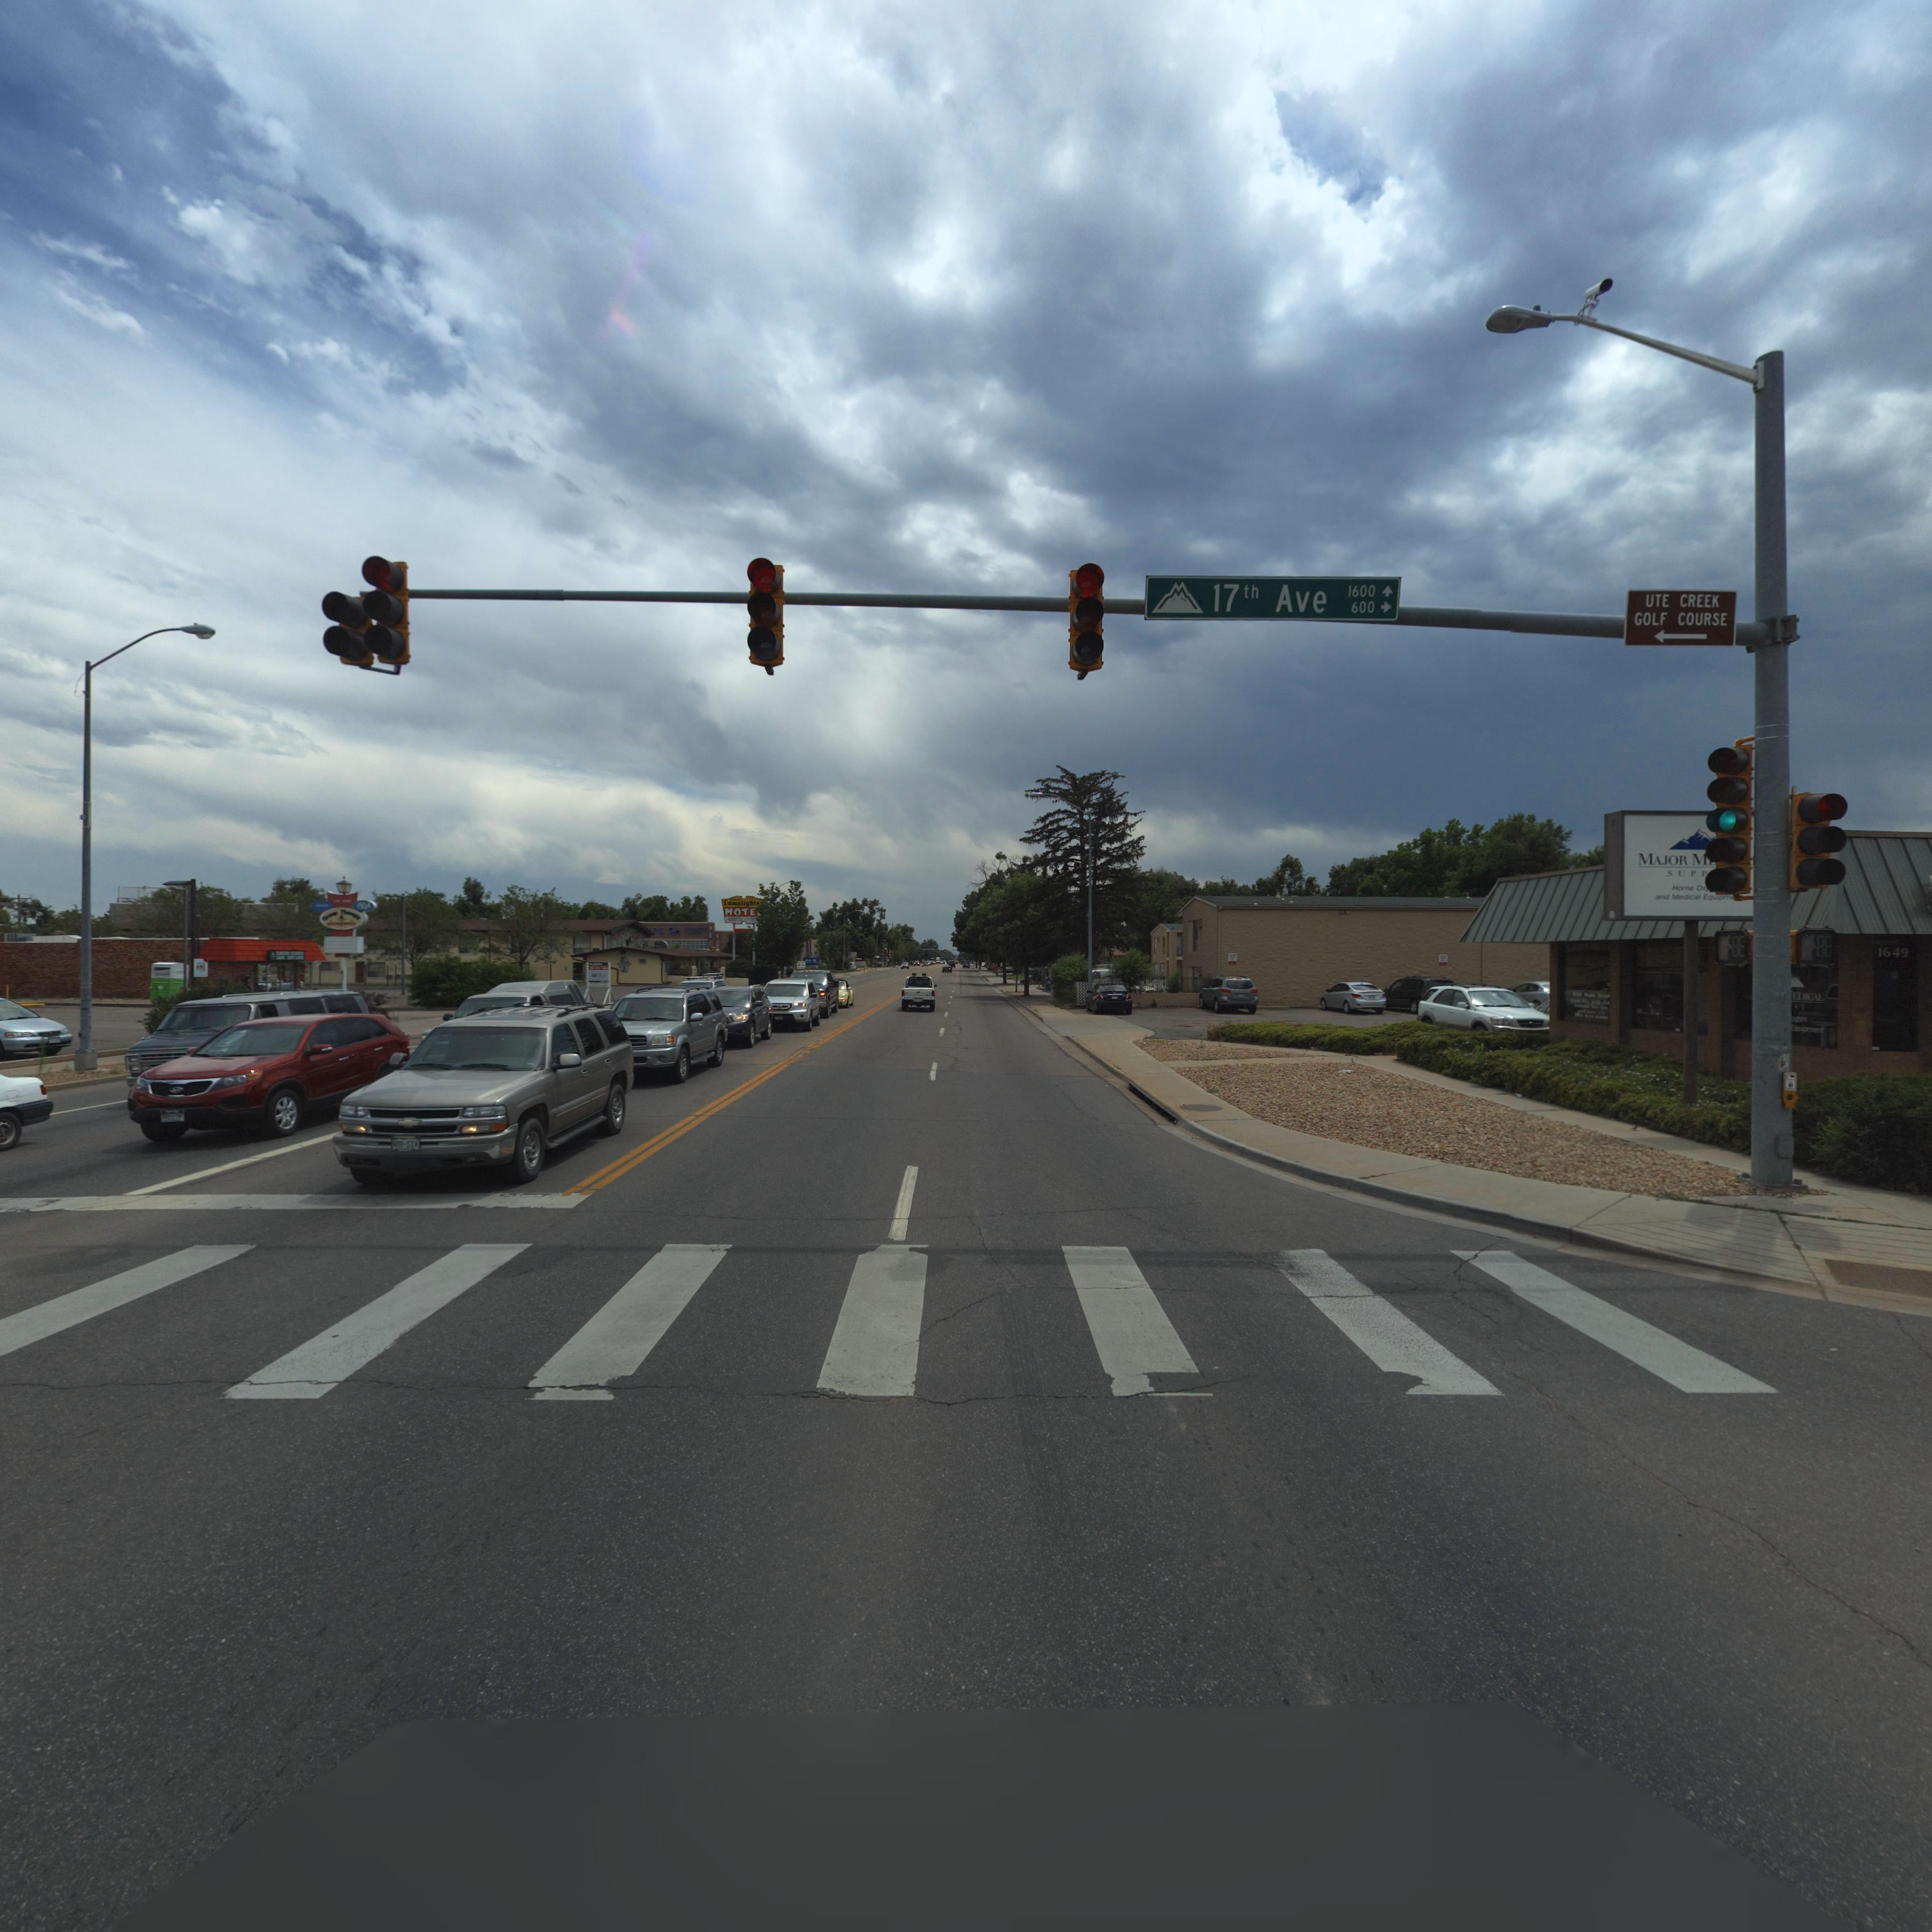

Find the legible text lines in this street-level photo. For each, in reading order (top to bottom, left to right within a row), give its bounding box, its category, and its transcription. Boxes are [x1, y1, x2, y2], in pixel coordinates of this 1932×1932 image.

[1347, 584, 1375, 598] StreetNumberRange: 1600
[1213, 583, 1327, 613] StreetName: 17th Ave
[1351, 601, 1392, 613] StreetNumberRange: 600->
[1637, 852, 1716, 866] BusinessName: MAJOR M*
[1667, 870, 1707, 877] BusinessName: SUPP
[723, 899, 756, 908] BusinessName: L**pligh*
[724, 907, 756, 916] BusinessName: *OTE
[653, 927, 680, 935] BusinessName: *G 5
[1877, 947, 1909, 958] StreetNumber: 1649
[1792, 991, 1825, 1001] BusinessName: EDICAL
[1794, 1003, 1805, 1010] BusinessName: L*